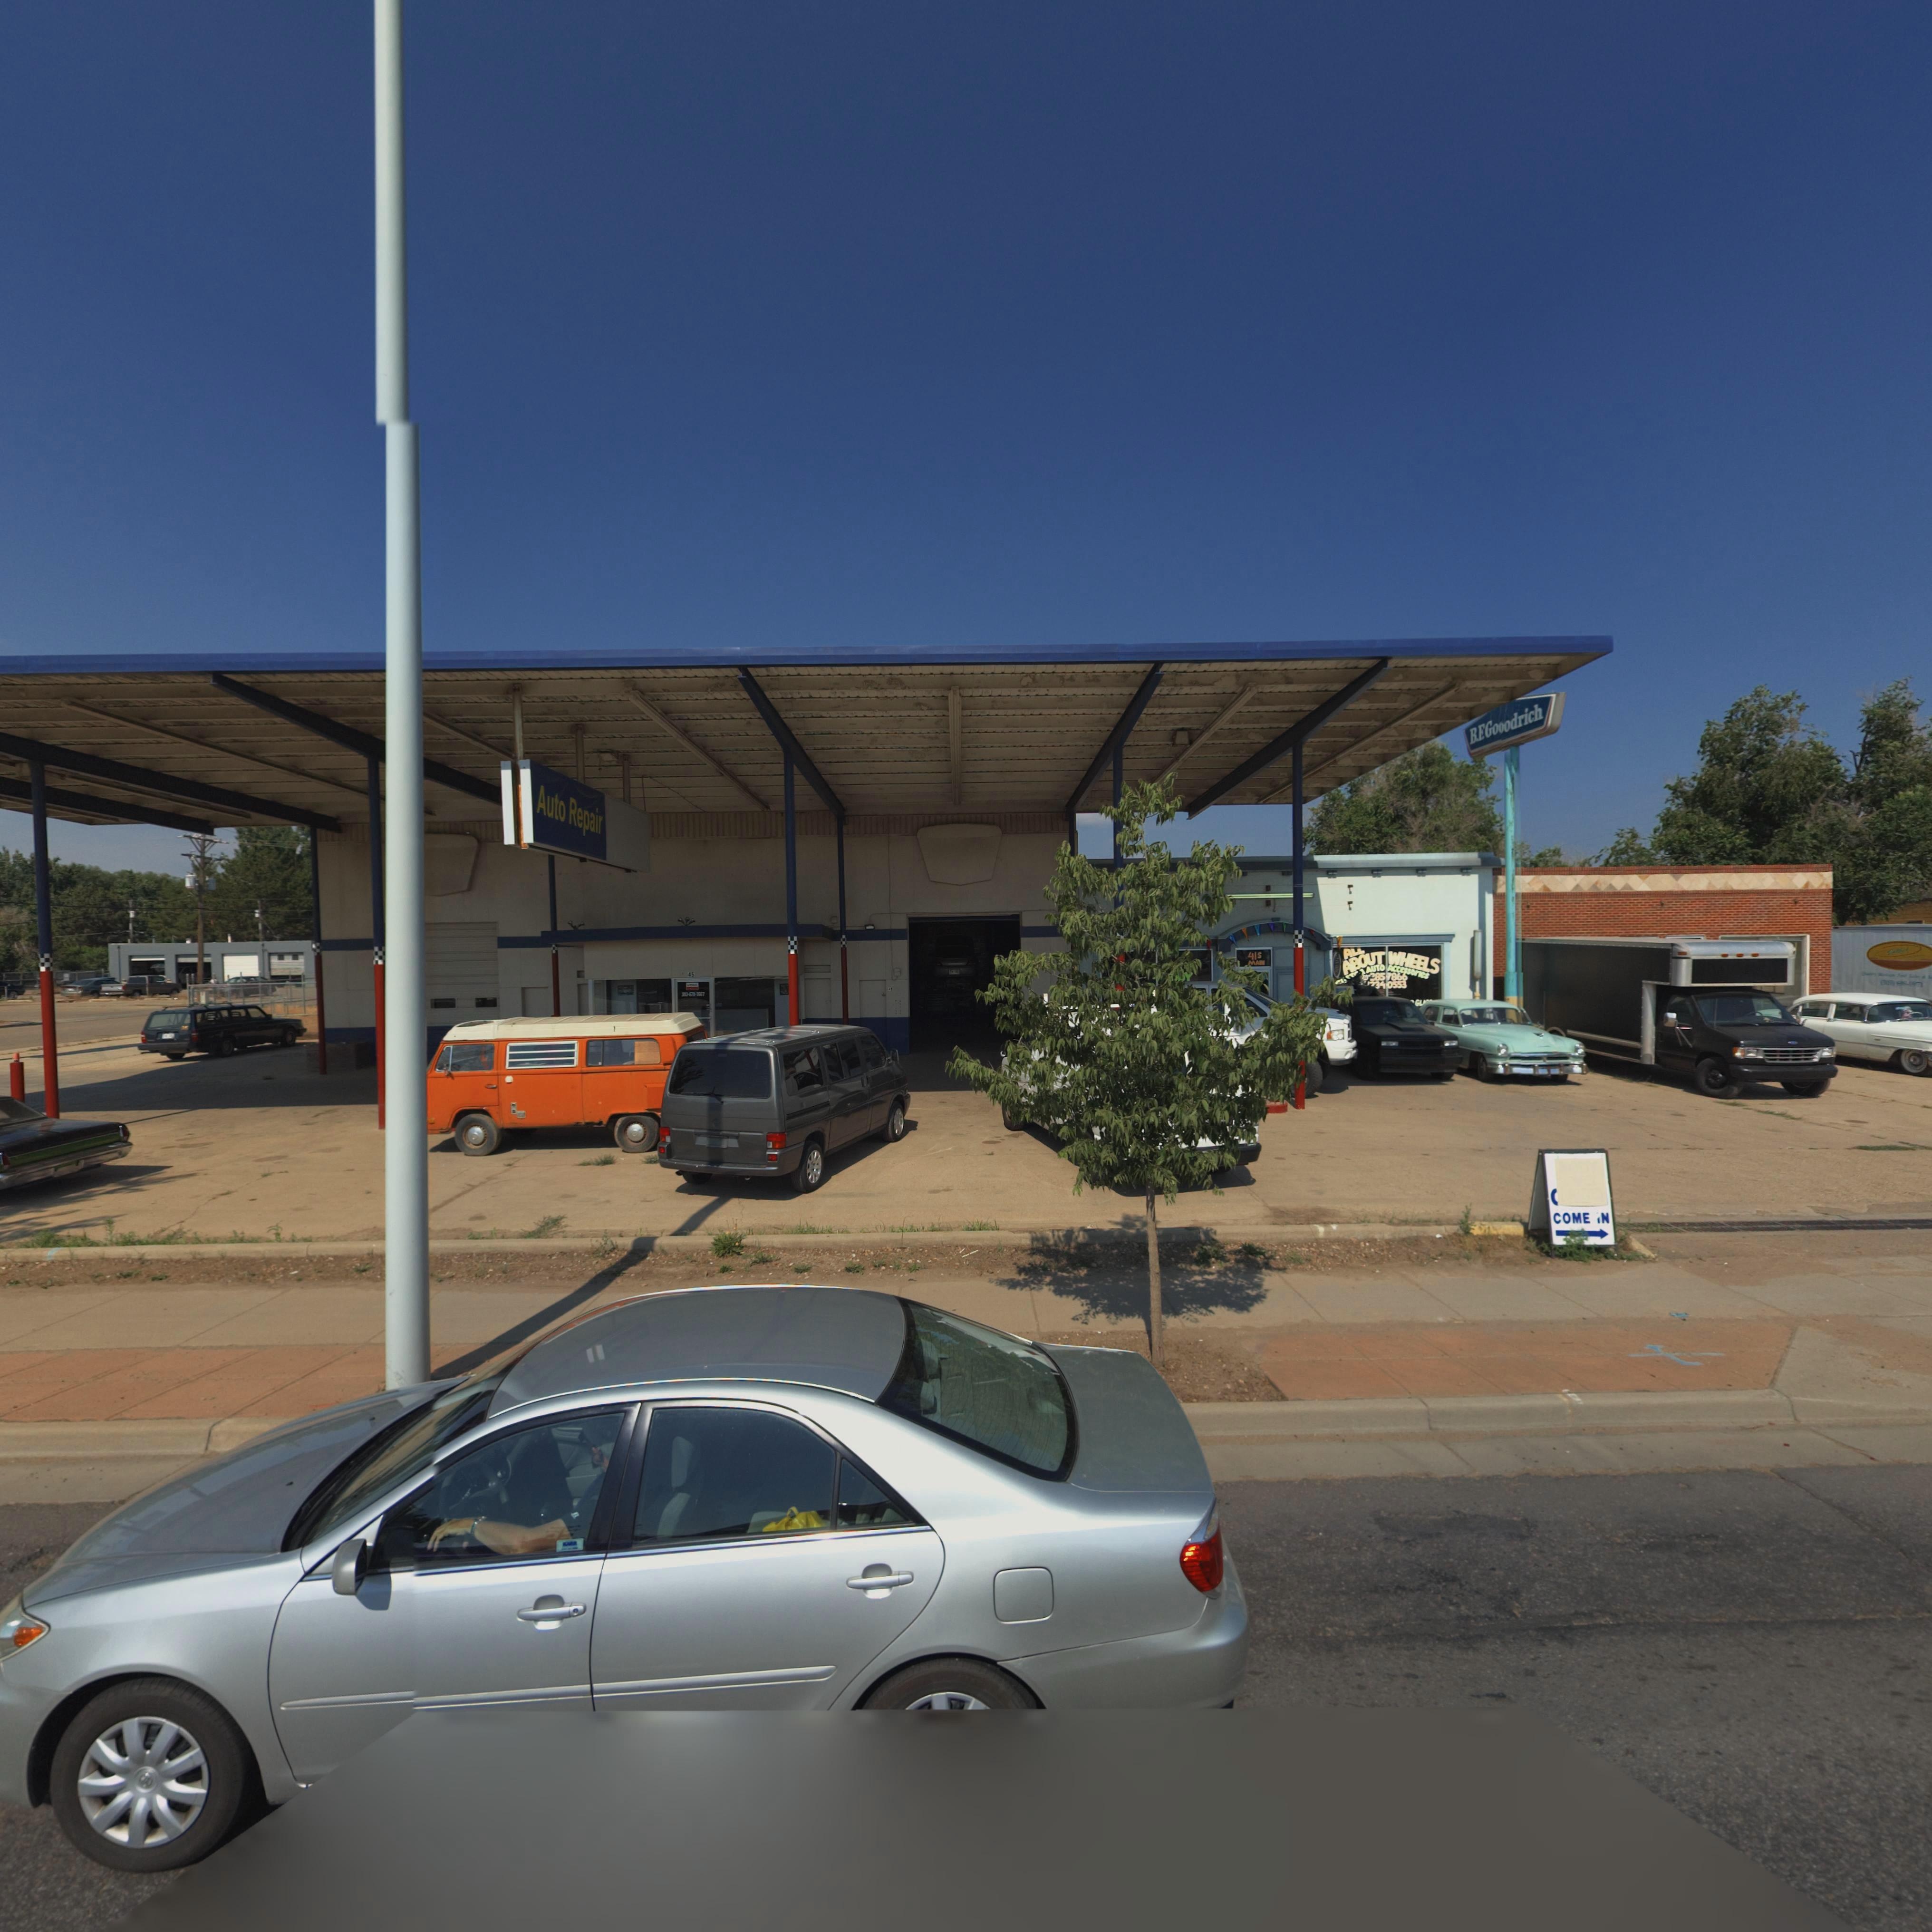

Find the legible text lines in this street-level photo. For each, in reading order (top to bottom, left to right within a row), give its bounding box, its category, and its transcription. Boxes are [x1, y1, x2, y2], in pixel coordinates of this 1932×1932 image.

[1247, 951, 1256, 960] StreetNumber: 41
[1257, 951, 1262, 958] StreetName: S
[1343, 947, 1365, 960] BusinessName: ALL
[1248, 960, 1265, 965] StreetName: MAI*
[1342, 950, 1441, 976] BusinessName: ABOUT WHEELS
[687, 971, 694, 977] StreetNumber: 45
[1366, 964, 1430, 979] BusinessName: AUTO ACCeSSOrIeS
[888, 987, 892, 991] StreetNumber: 41